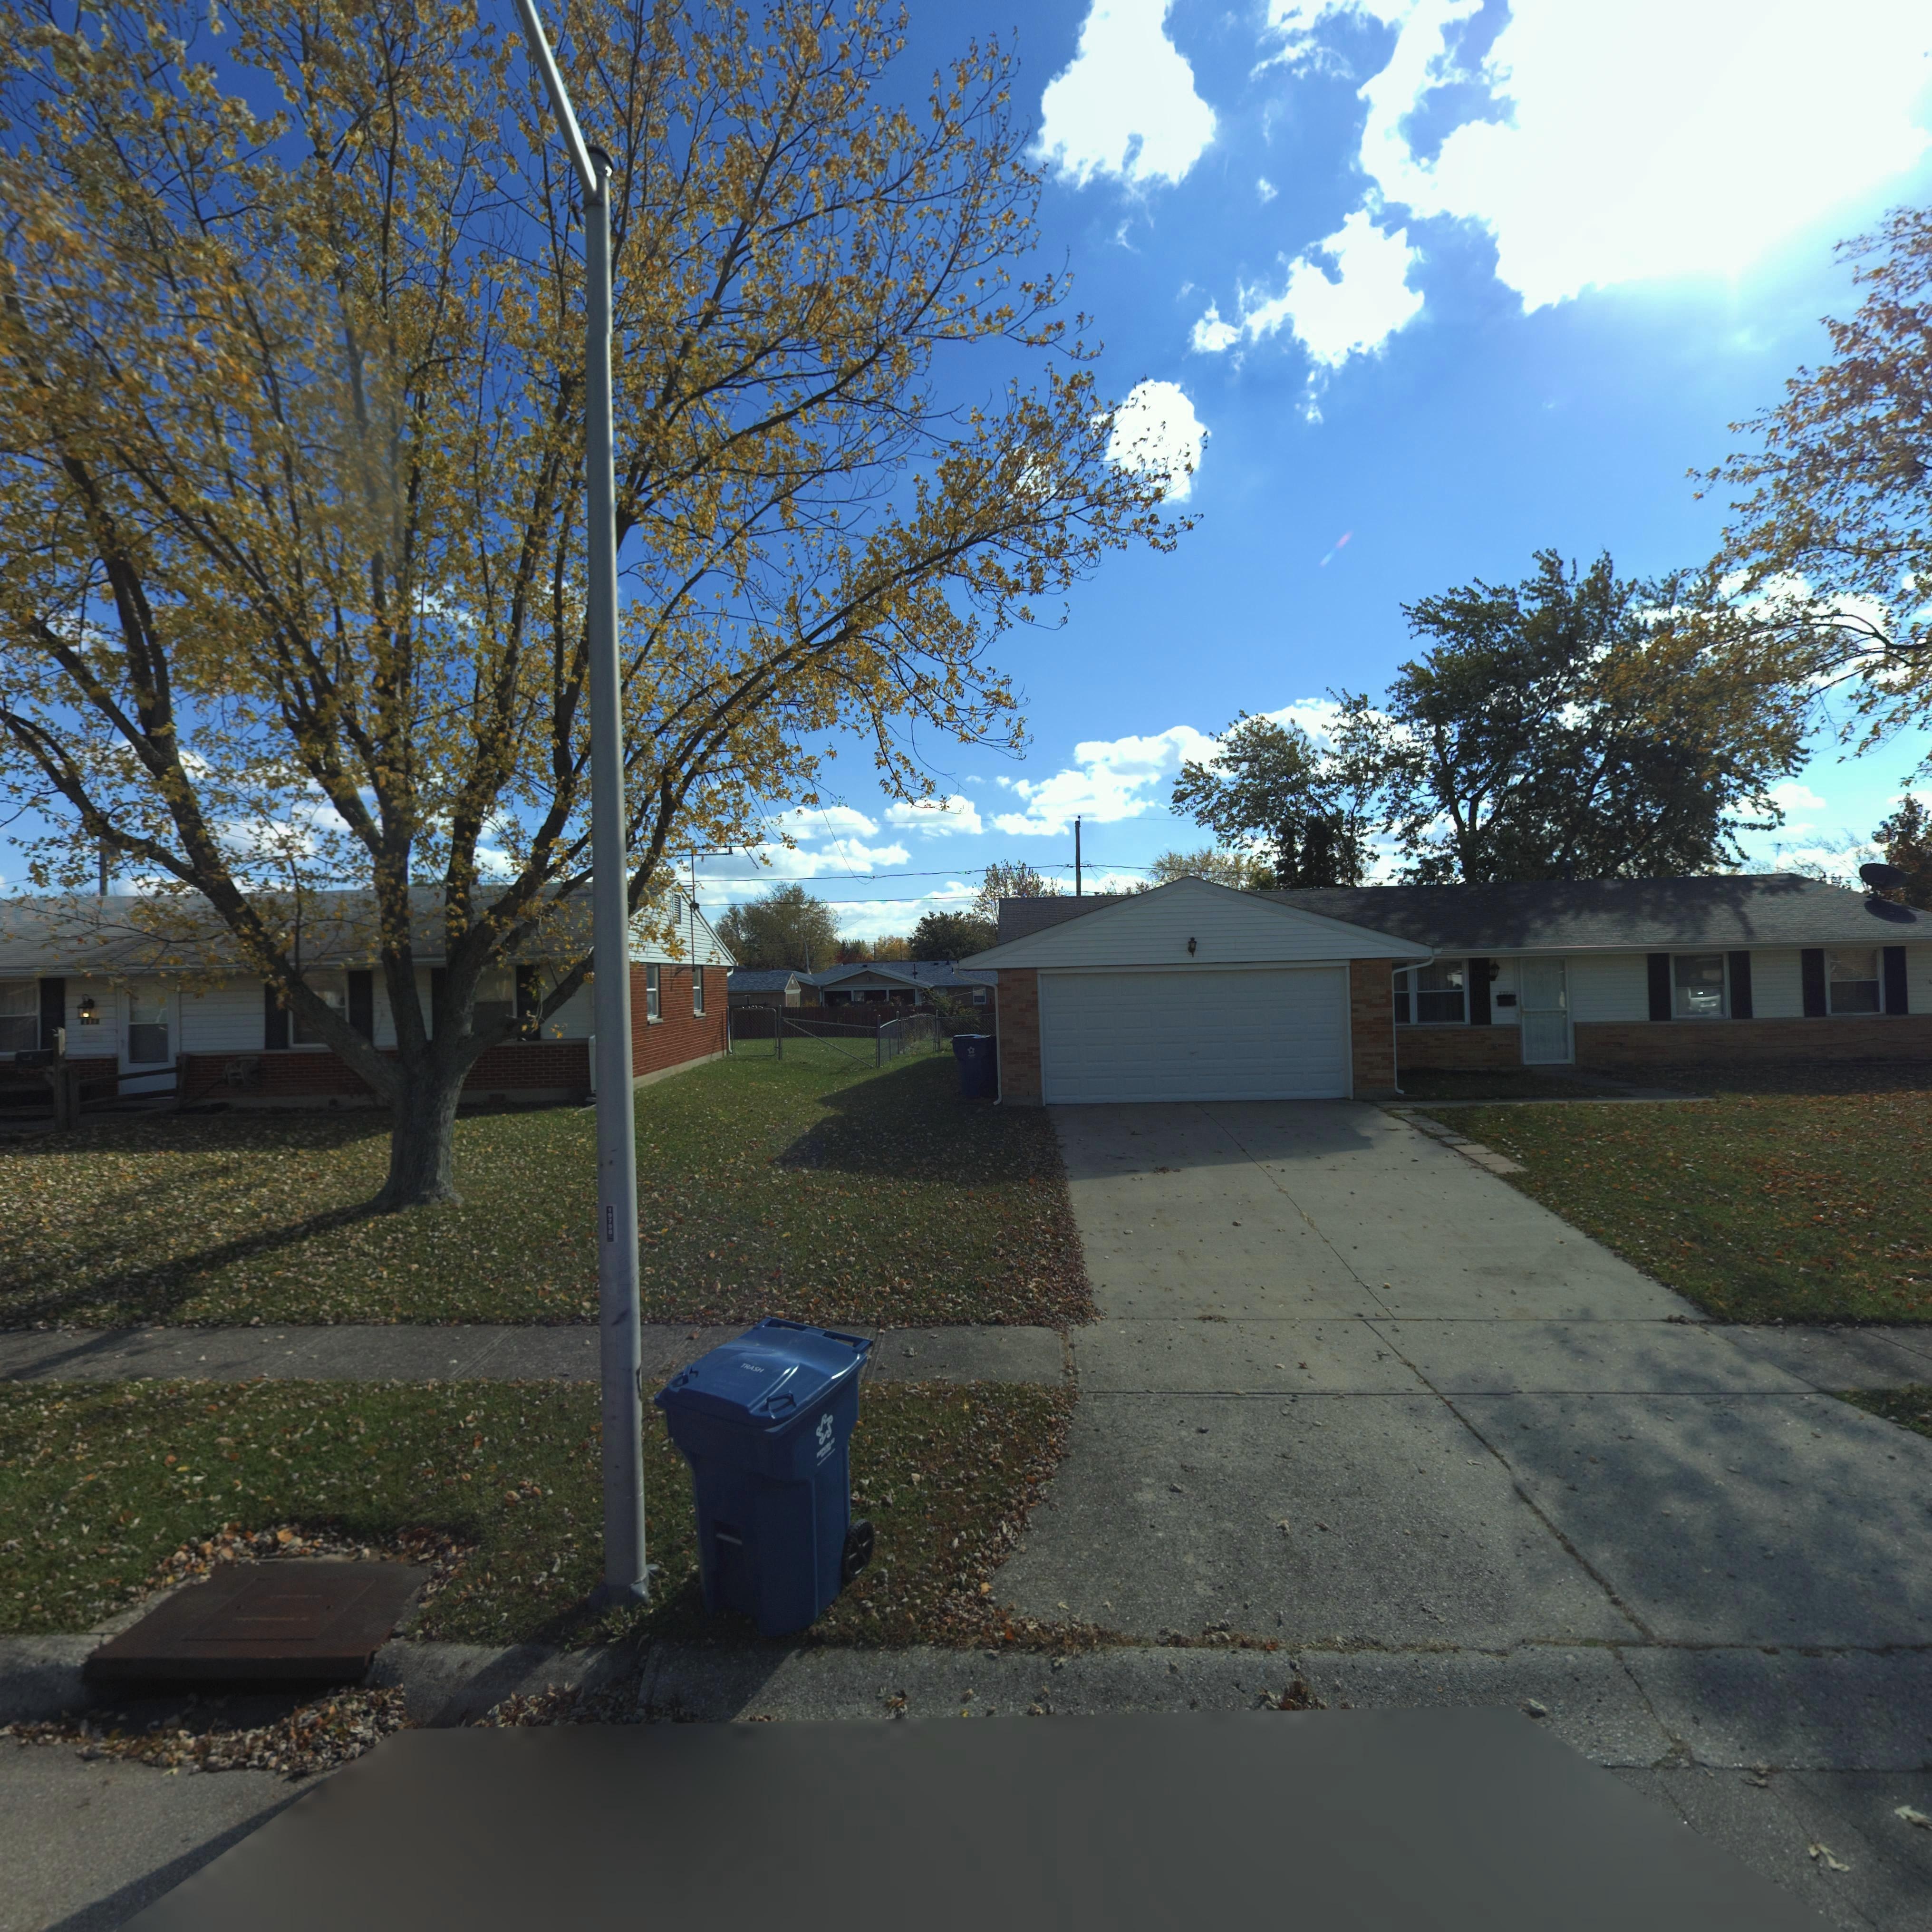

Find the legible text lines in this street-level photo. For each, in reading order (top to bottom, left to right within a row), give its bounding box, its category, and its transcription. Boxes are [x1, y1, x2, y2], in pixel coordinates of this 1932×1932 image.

[1498, 990, 1514, 995] StreetNumber: 7780